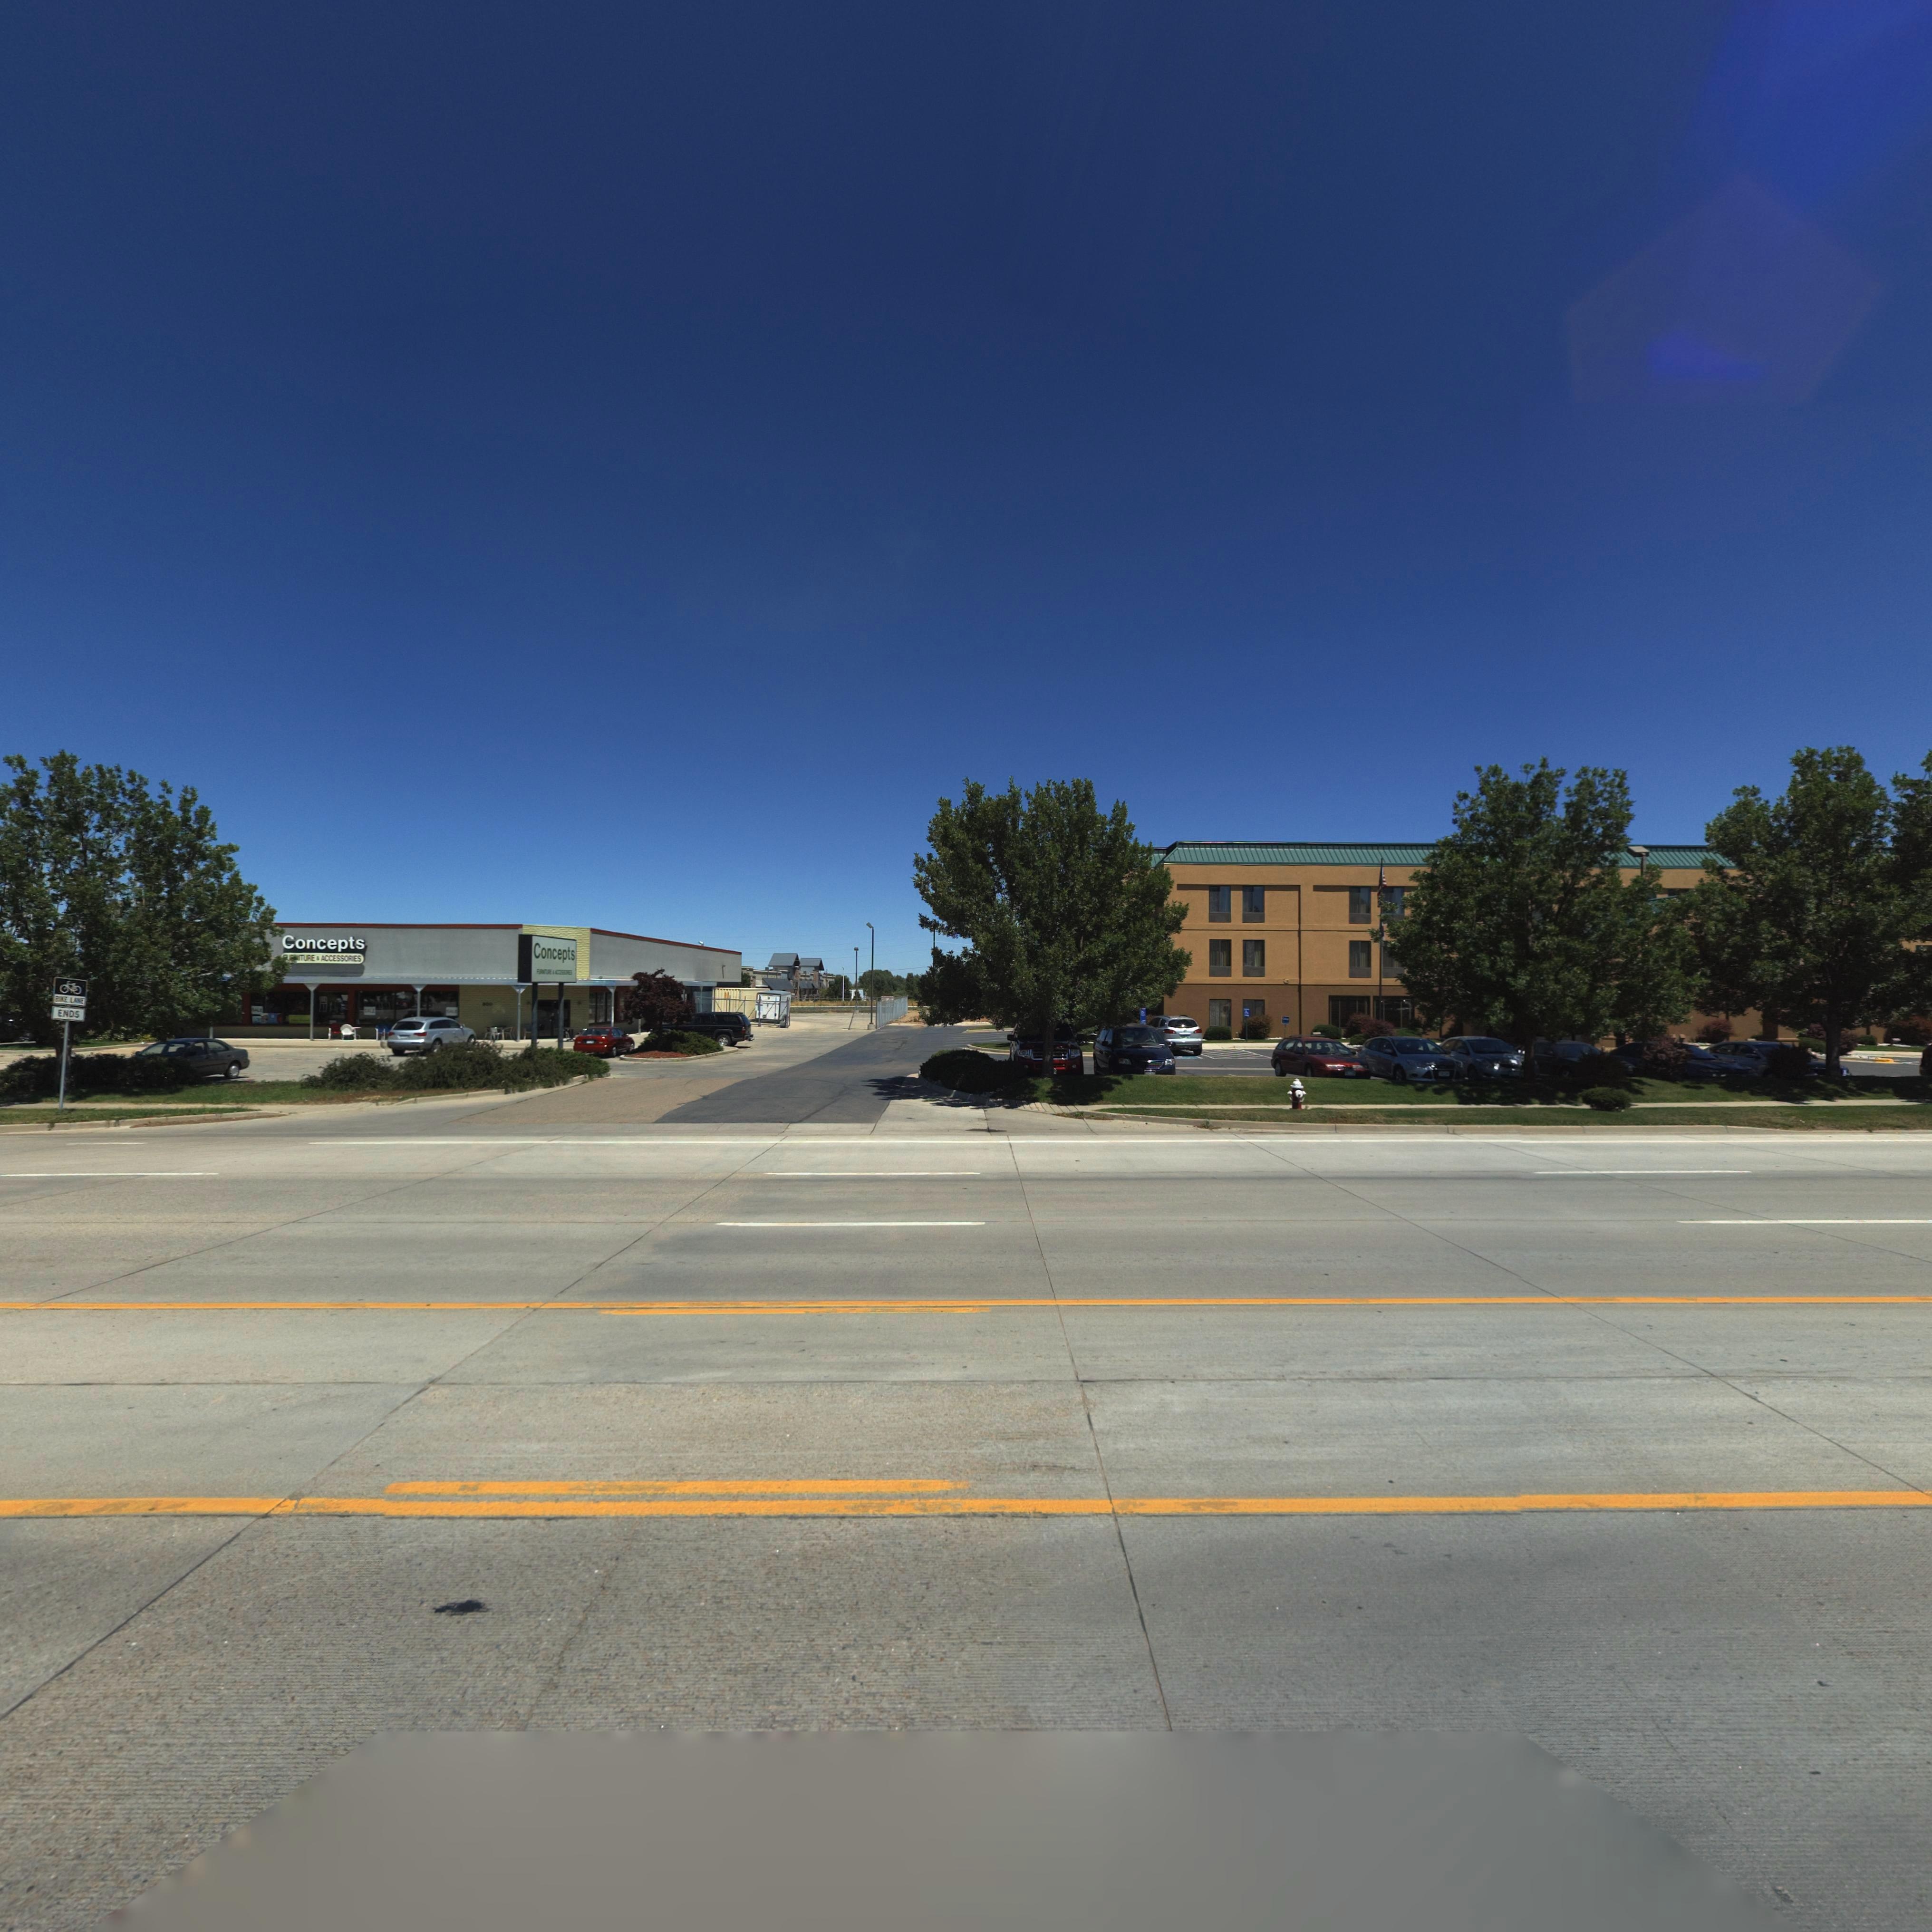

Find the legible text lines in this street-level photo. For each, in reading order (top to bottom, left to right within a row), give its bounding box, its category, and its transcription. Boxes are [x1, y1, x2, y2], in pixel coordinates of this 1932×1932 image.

[281, 934, 365, 953] BusinessName: Concepts
[533, 942, 575, 963] BusinessName: Concepts
[482, 1002, 493, 1006] StreetNumber: *00